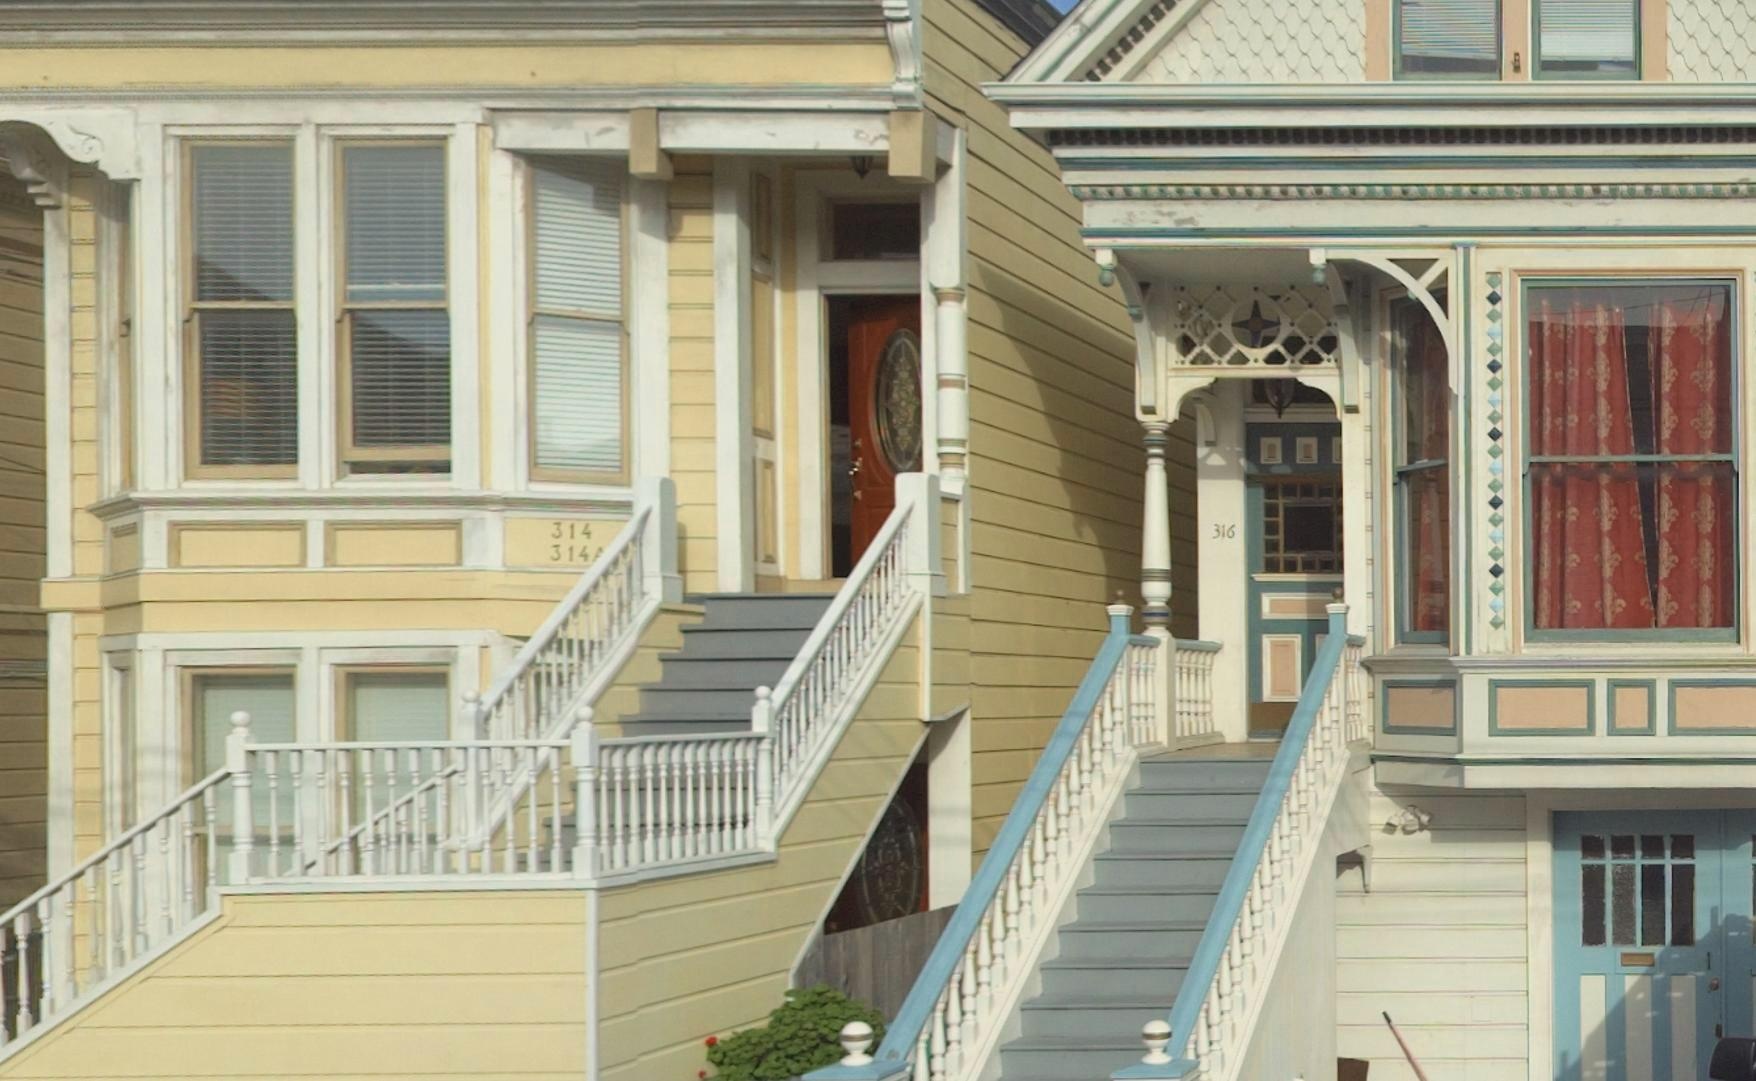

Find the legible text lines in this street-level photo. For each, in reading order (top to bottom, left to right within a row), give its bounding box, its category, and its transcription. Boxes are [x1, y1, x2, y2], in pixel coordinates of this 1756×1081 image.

[549, 520, 593, 541] StreetNumber: 314
[1211, 522, 1237, 540] StreetNumber: 316
[548, 543, 606, 564] StreetNumber: 314*